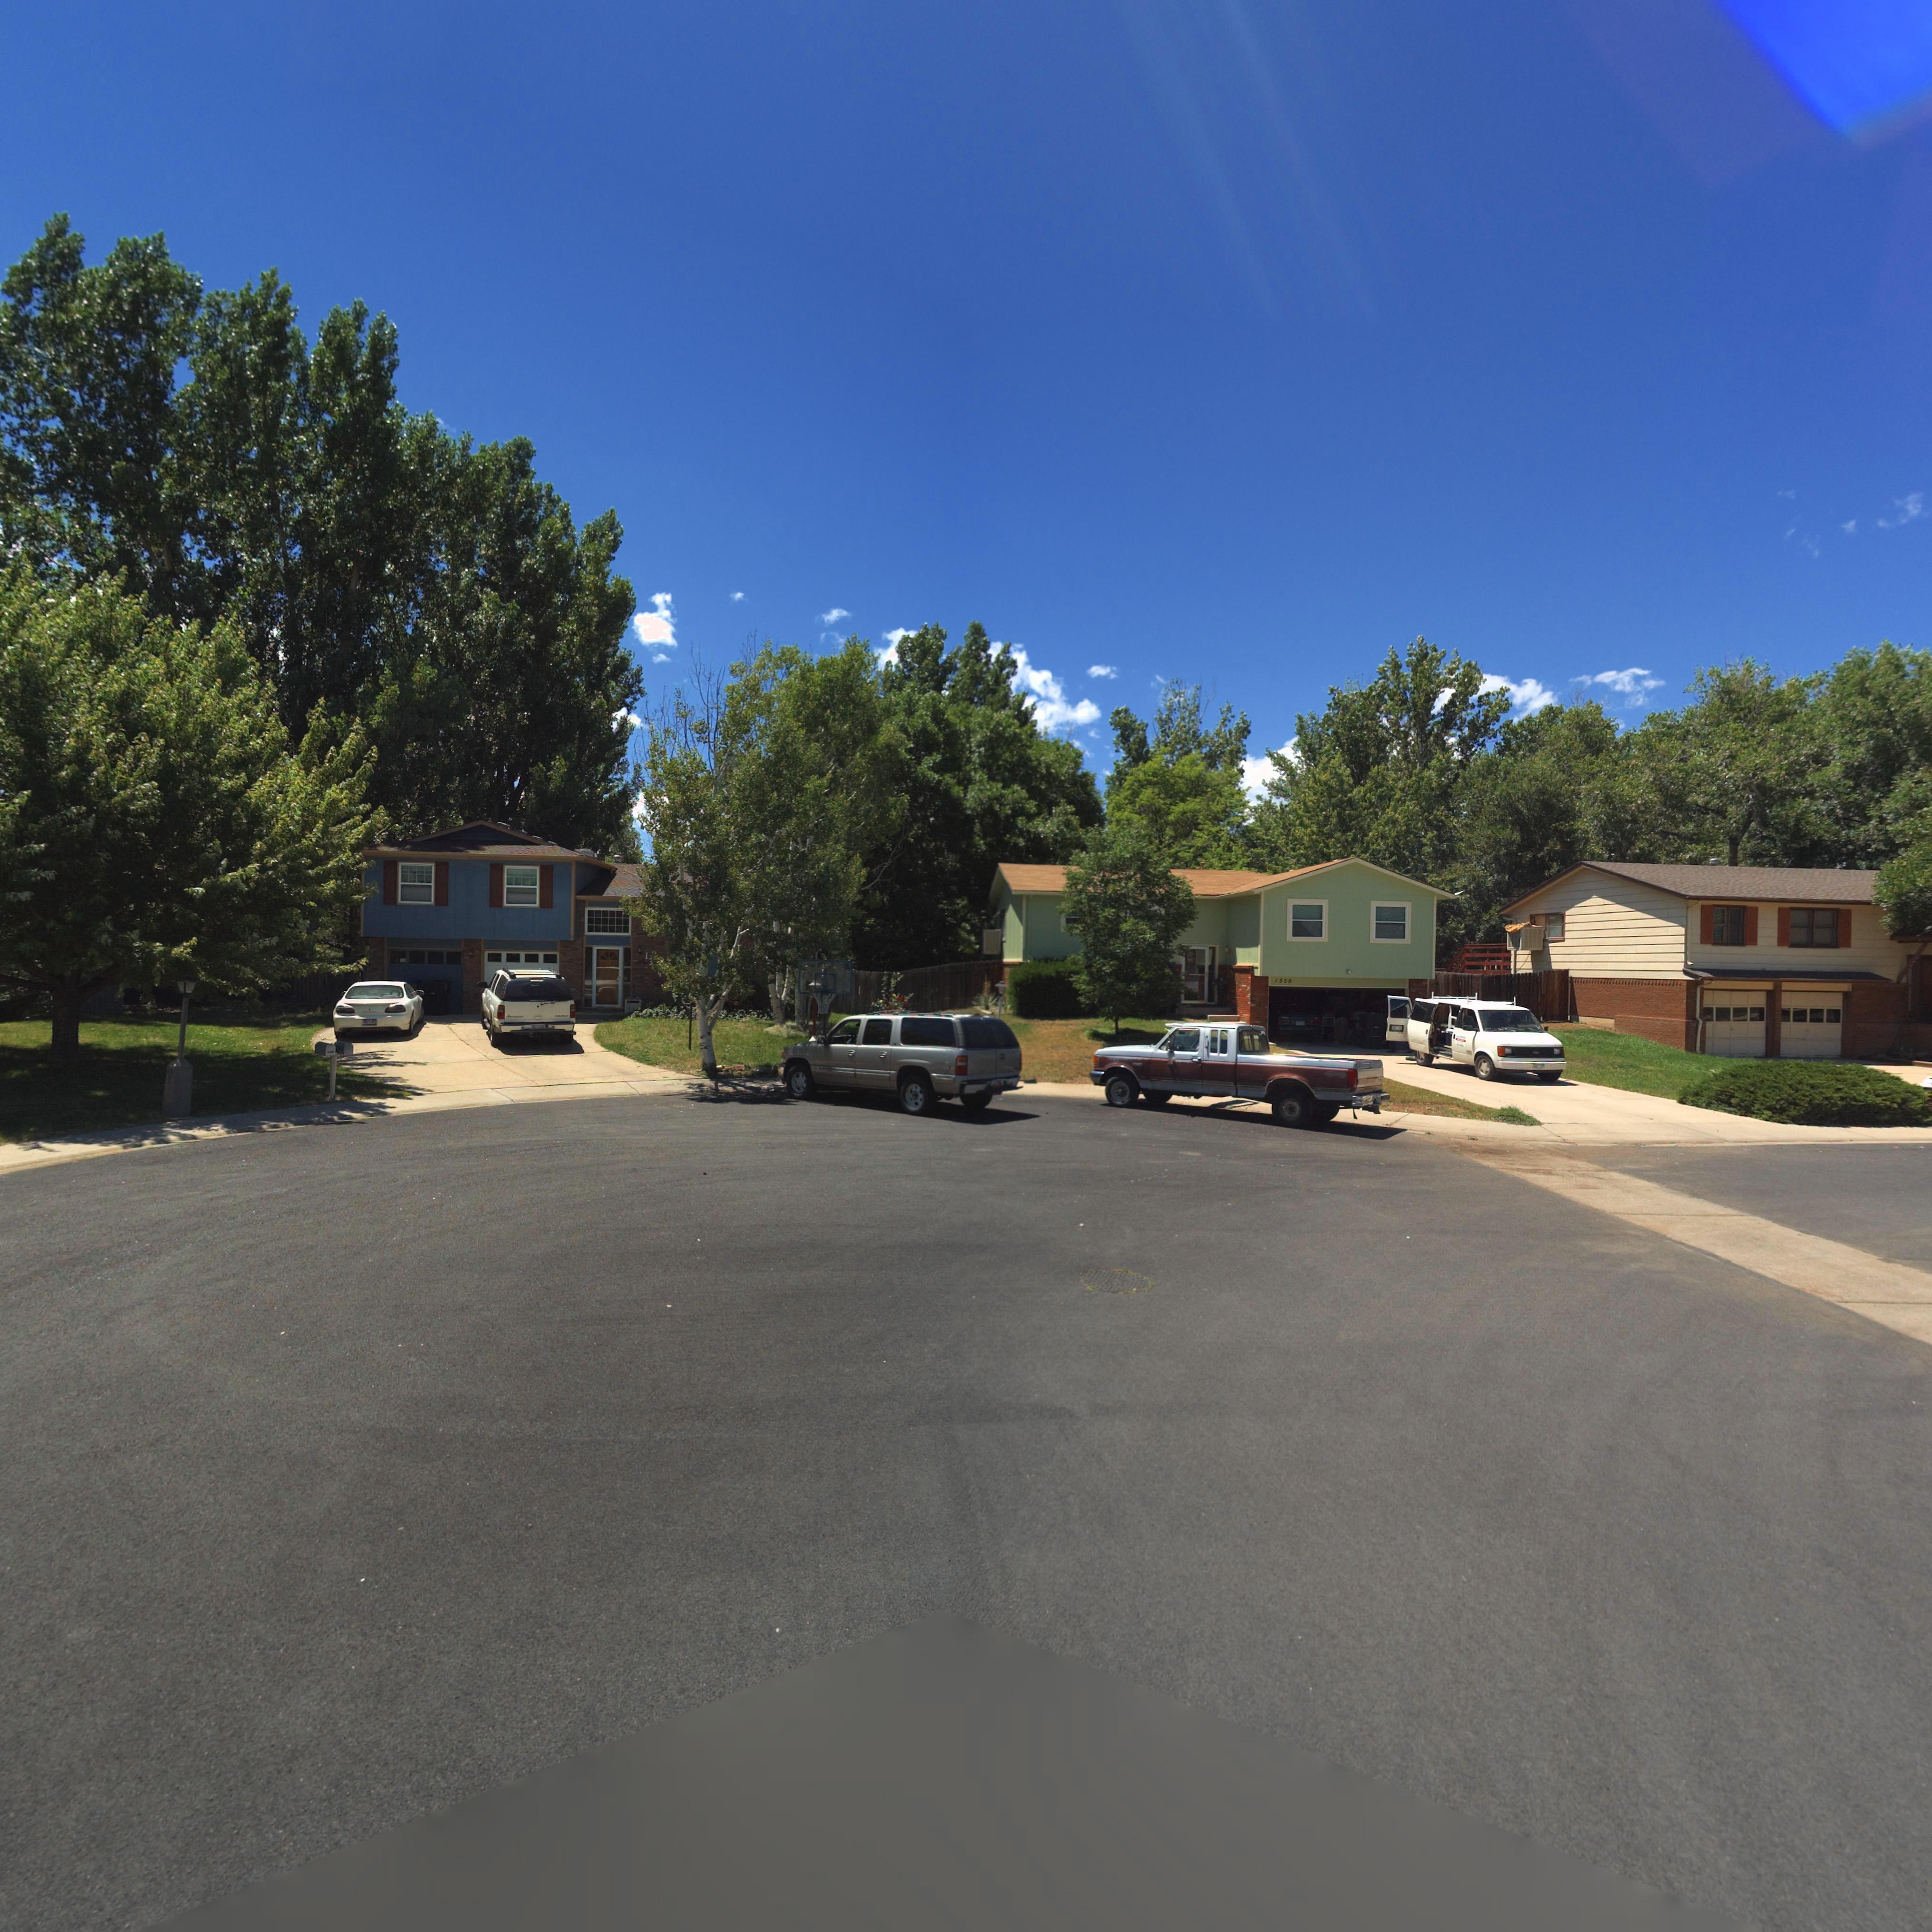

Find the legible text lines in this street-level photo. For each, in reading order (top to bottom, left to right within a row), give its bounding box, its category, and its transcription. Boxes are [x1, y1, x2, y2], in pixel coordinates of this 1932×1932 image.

[645, 951, 653, 966] StreetNumber: 13
[1275, 978, 1292, 983] StreetNumber: 1350